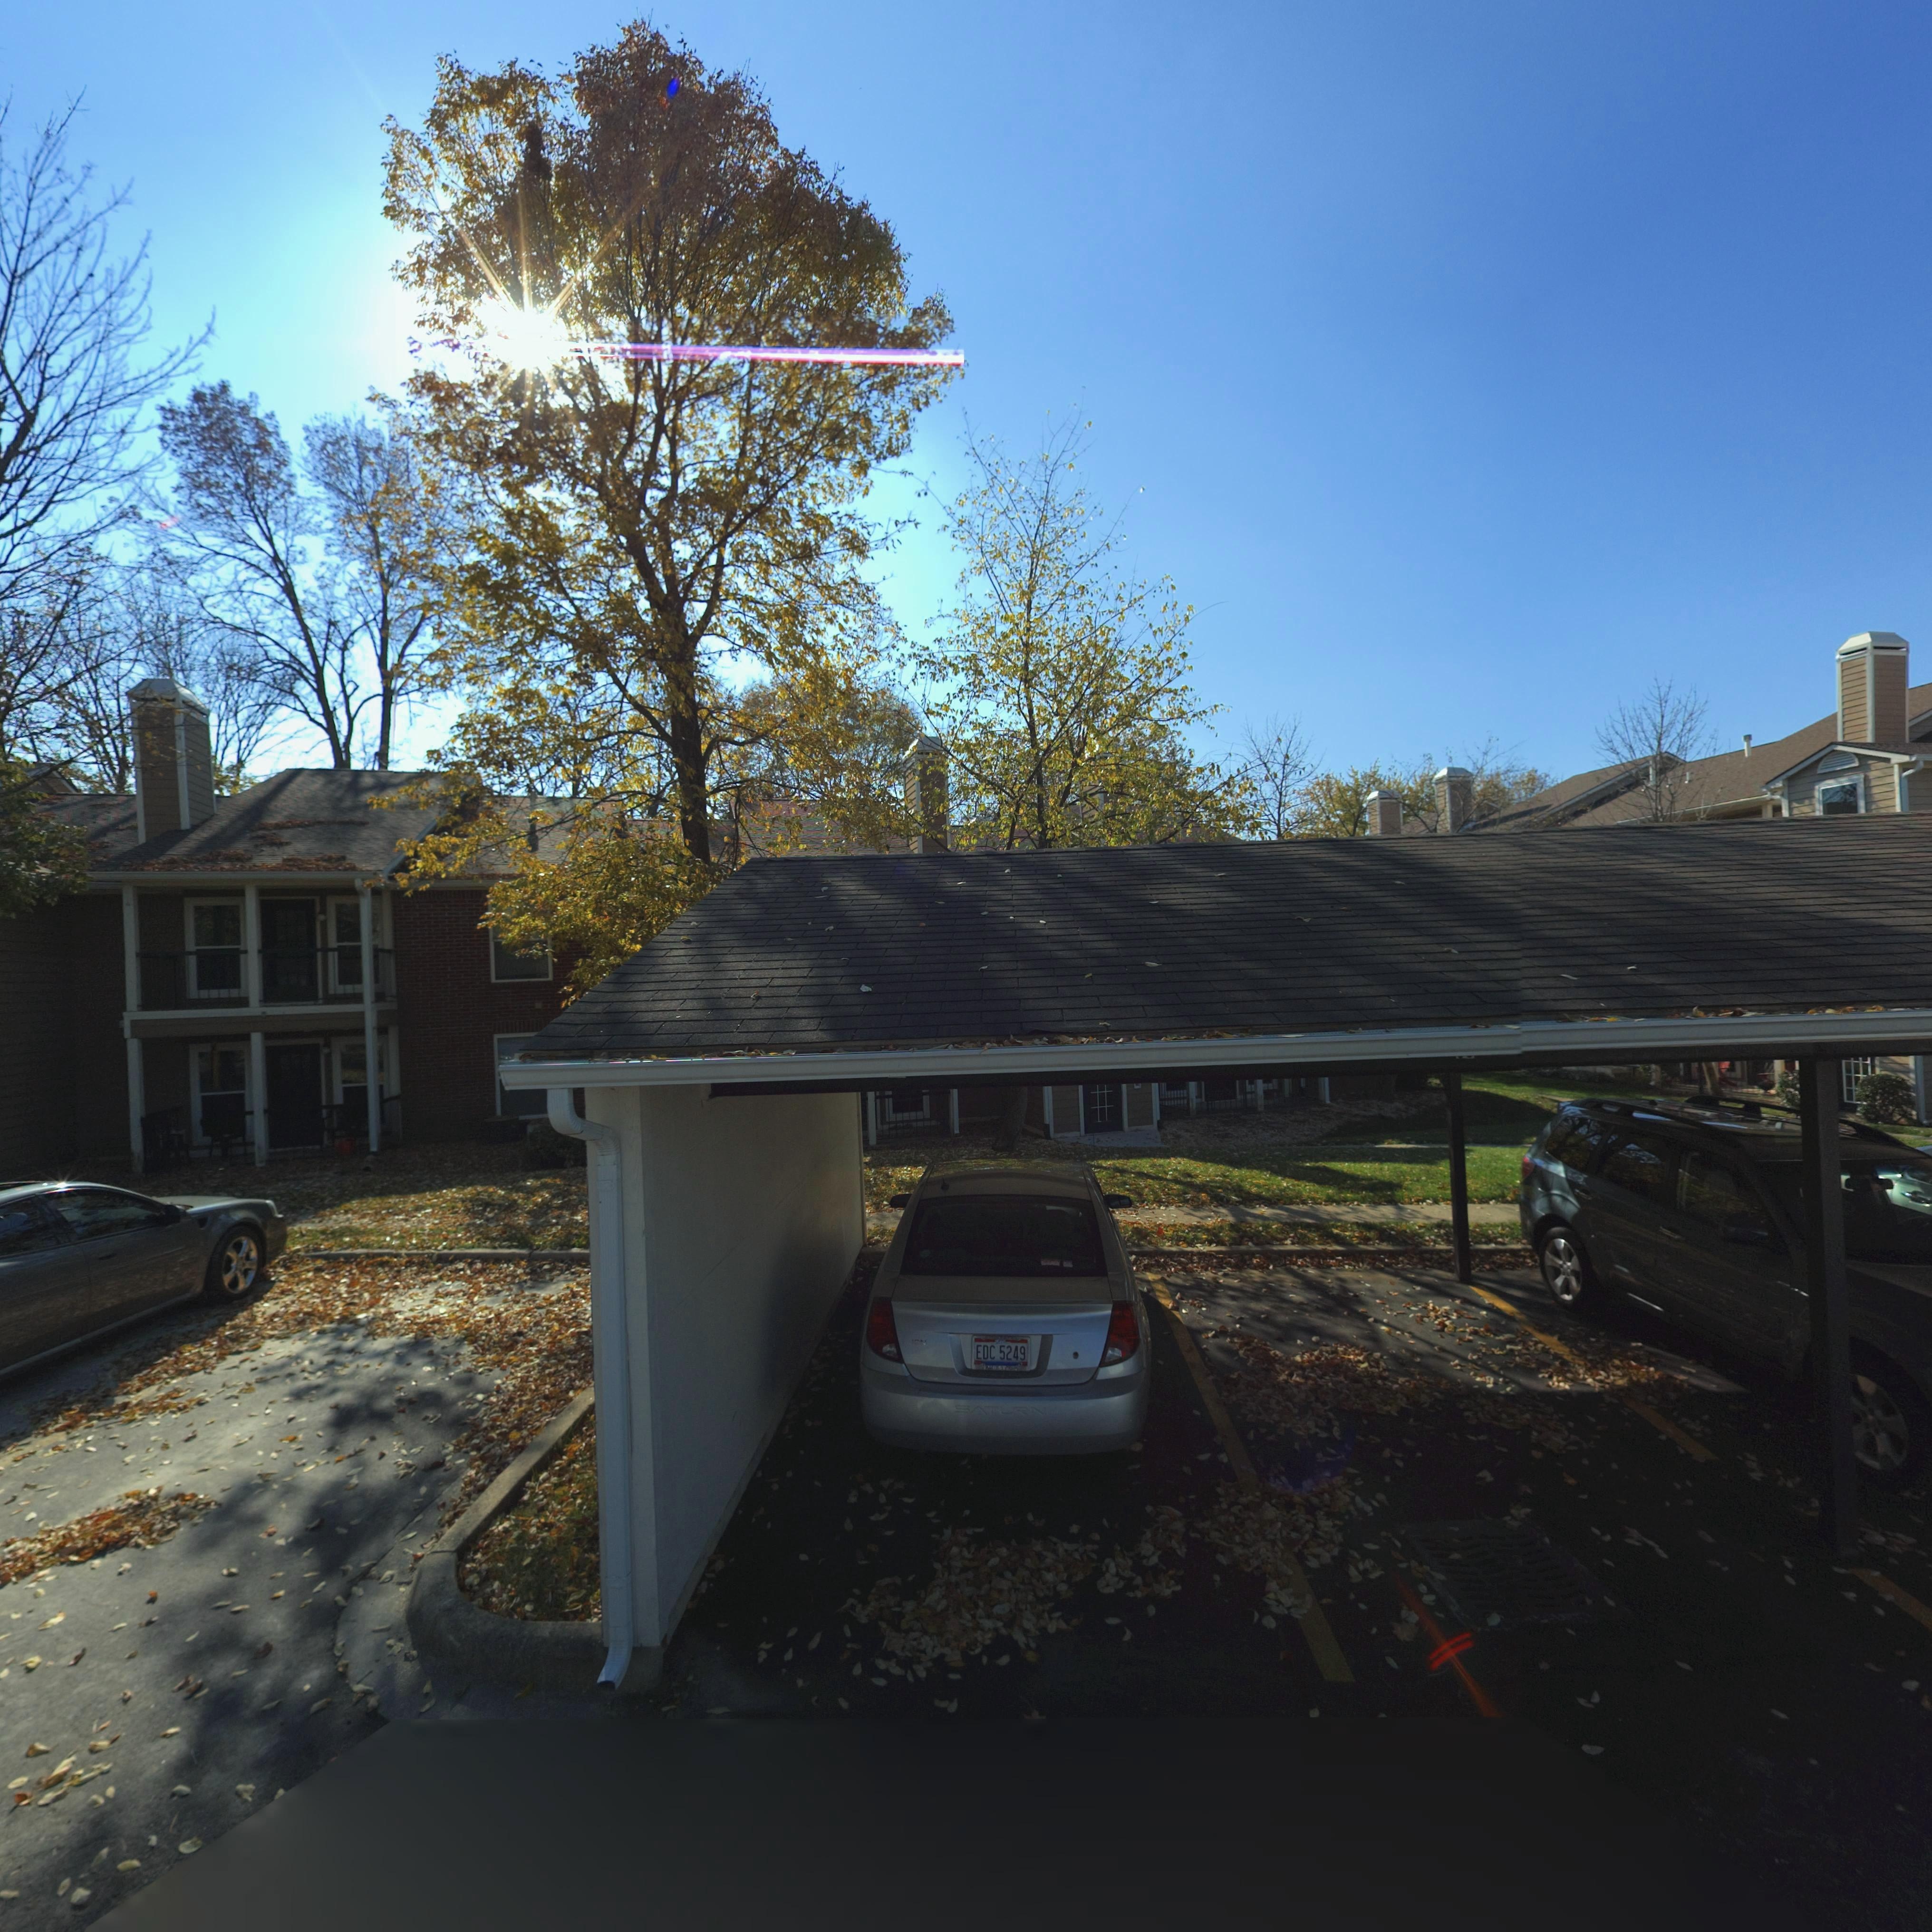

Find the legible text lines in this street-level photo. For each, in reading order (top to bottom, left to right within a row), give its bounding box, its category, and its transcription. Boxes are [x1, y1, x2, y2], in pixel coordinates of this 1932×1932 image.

[976, 1343, 1027, 1361] None: EDC 5249
[953, 1403, 1049, 1417] None: SATURN